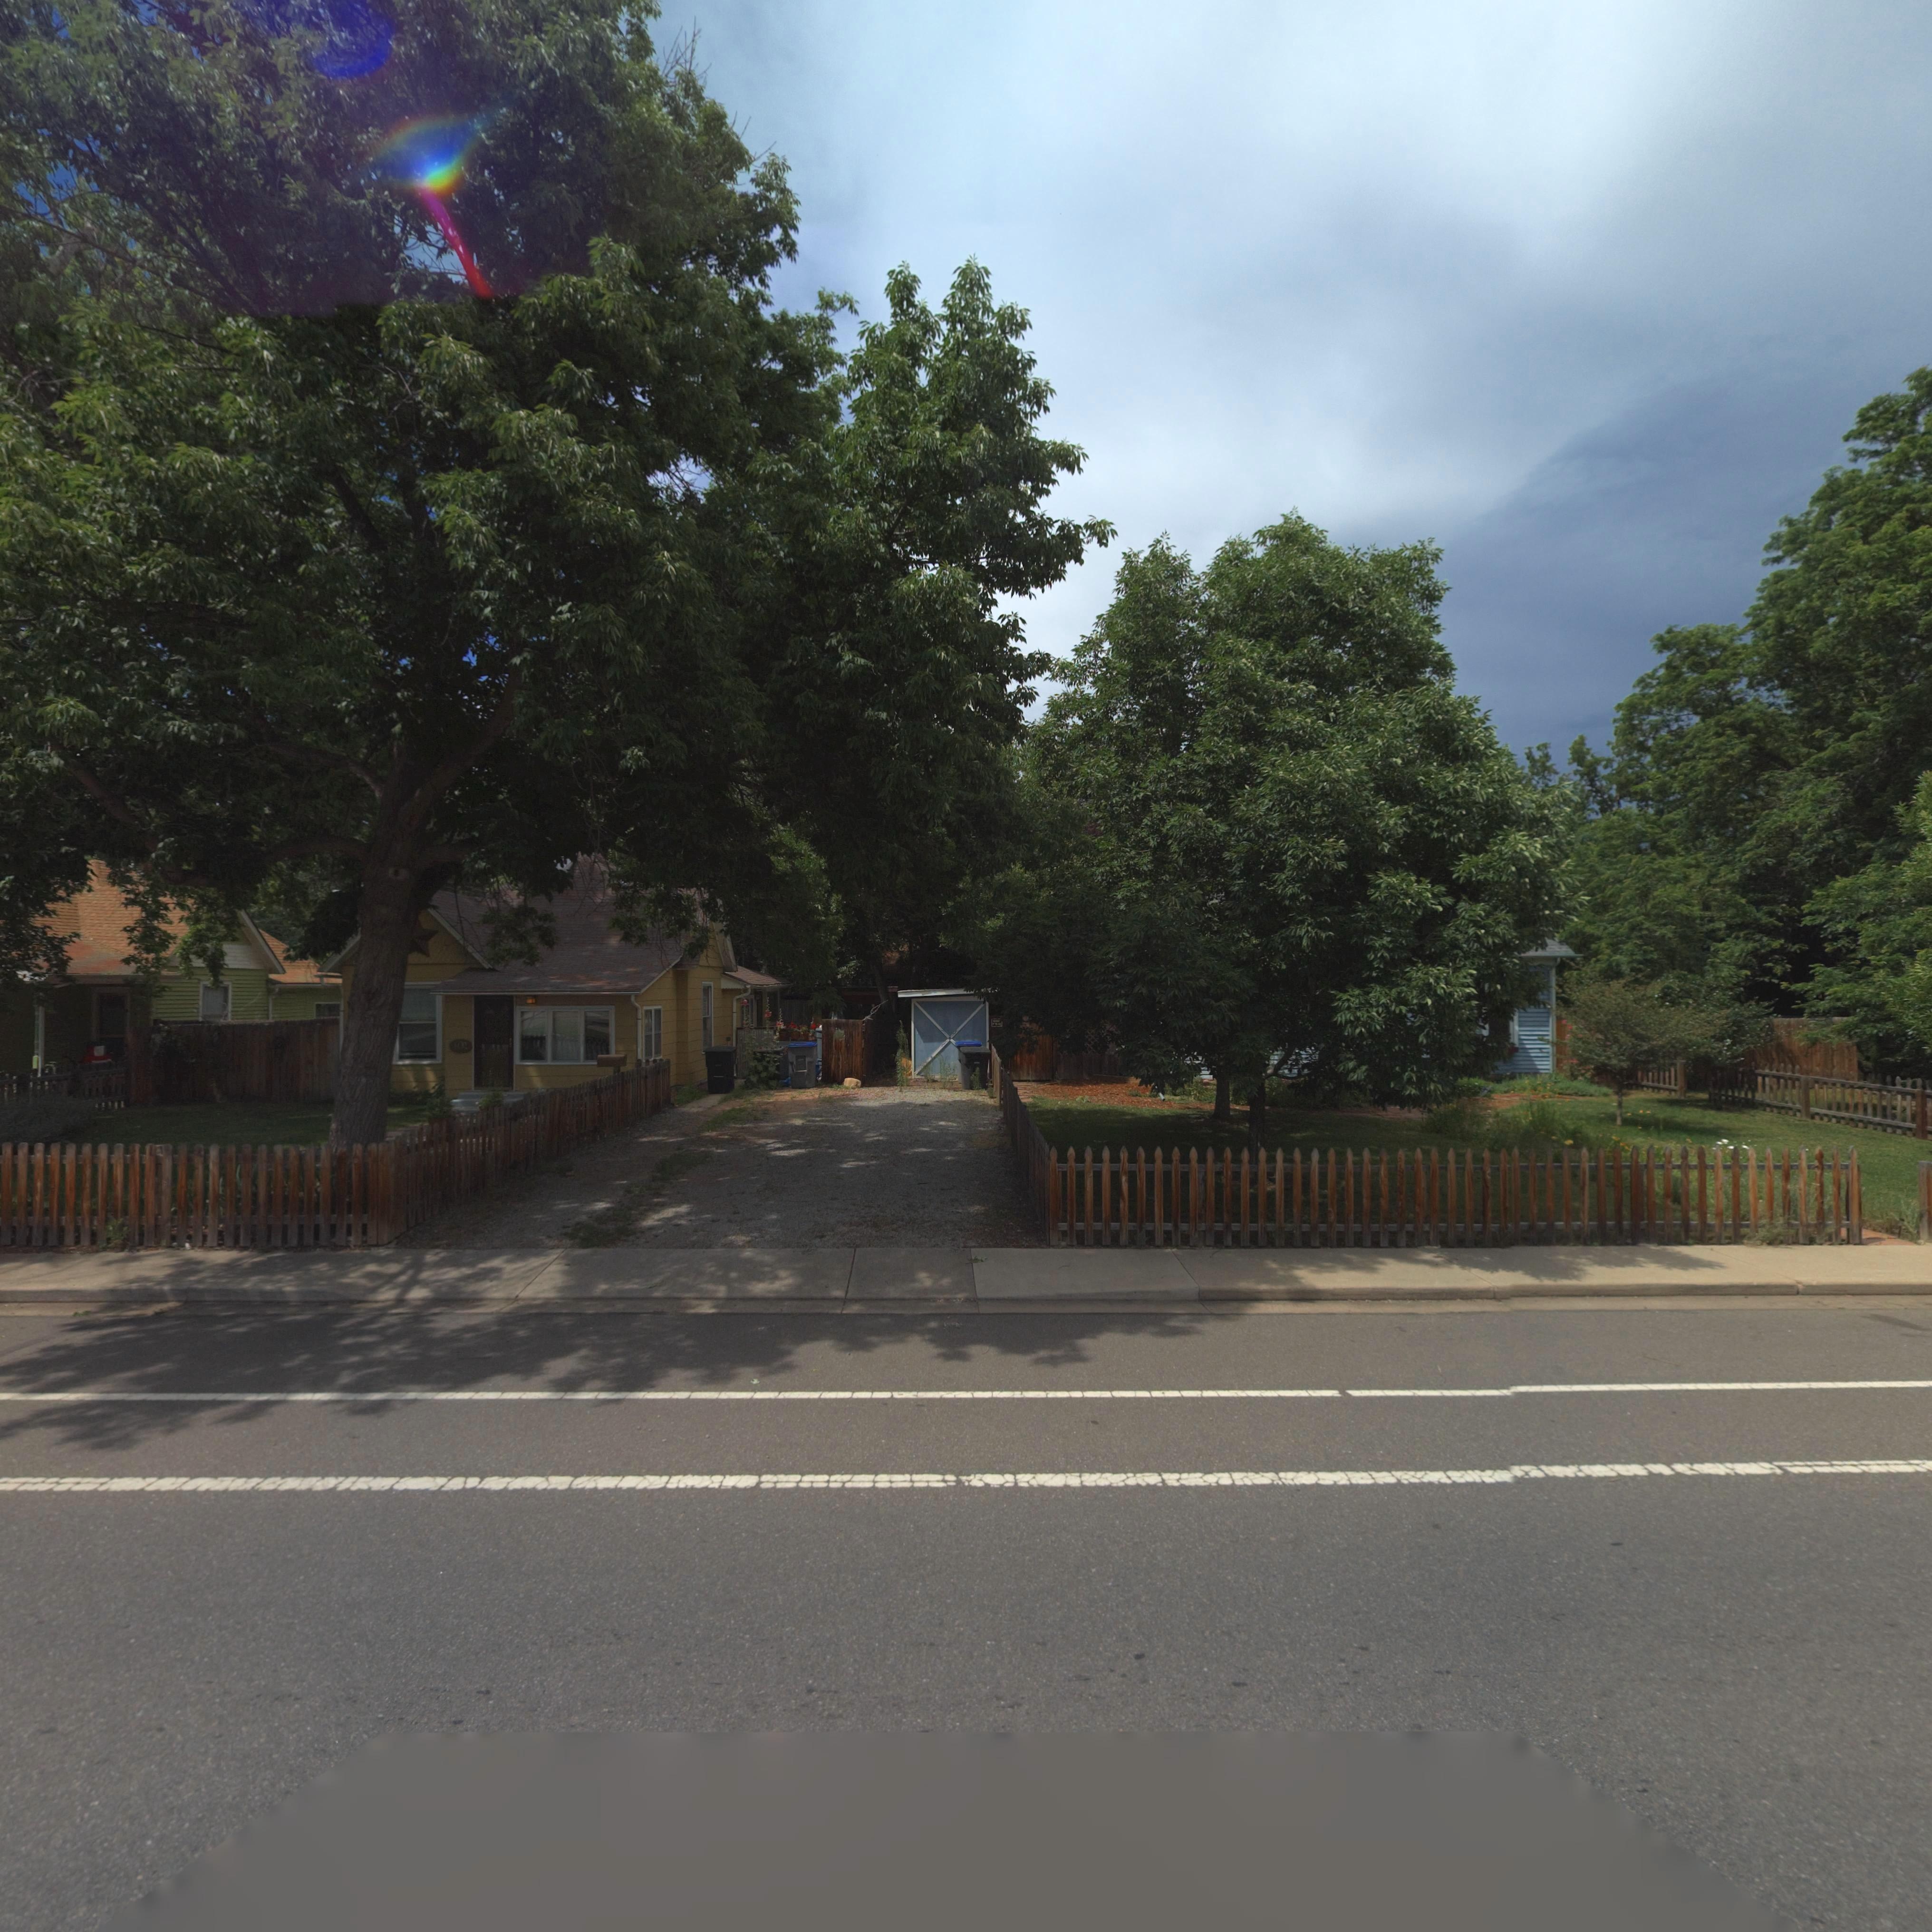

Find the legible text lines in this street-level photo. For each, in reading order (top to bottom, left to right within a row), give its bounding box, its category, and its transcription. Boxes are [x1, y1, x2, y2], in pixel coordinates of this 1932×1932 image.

[453, 1041, 467, 1050] StreetNumber: 102